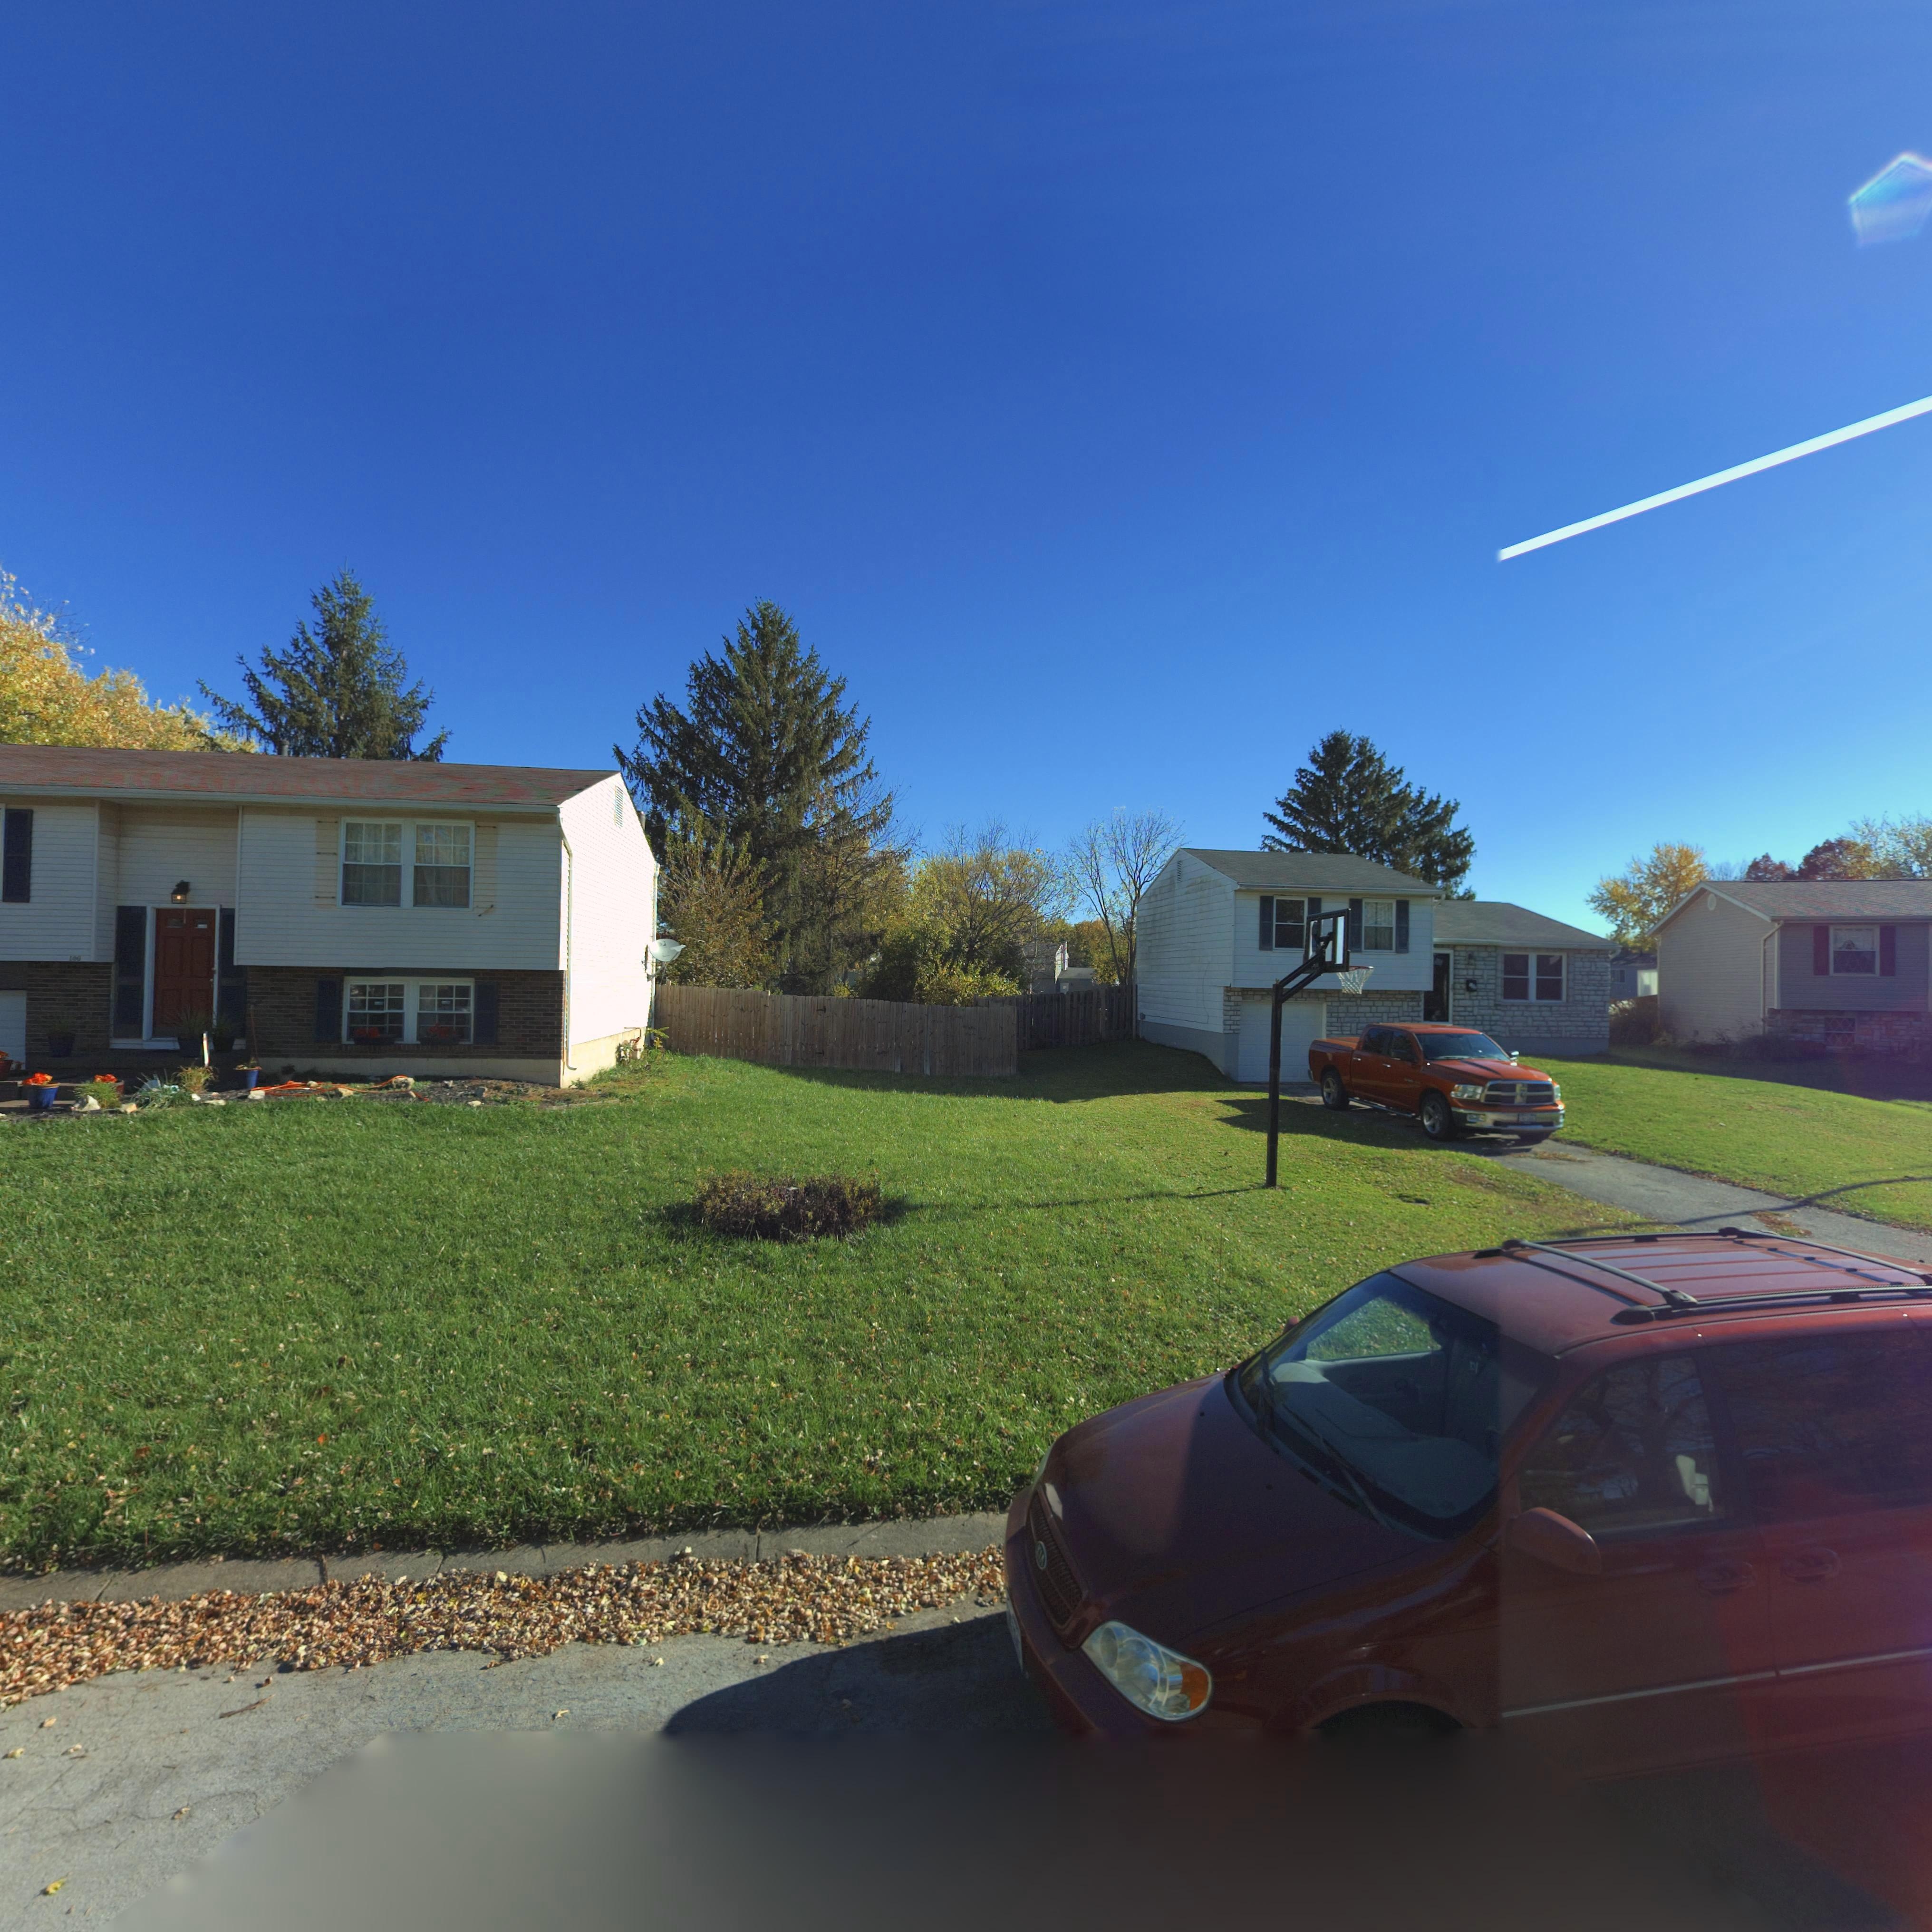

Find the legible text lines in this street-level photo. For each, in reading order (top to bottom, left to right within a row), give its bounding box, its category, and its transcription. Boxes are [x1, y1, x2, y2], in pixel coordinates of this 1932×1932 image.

[68, 954, 82, 962] StreetNumber: 100